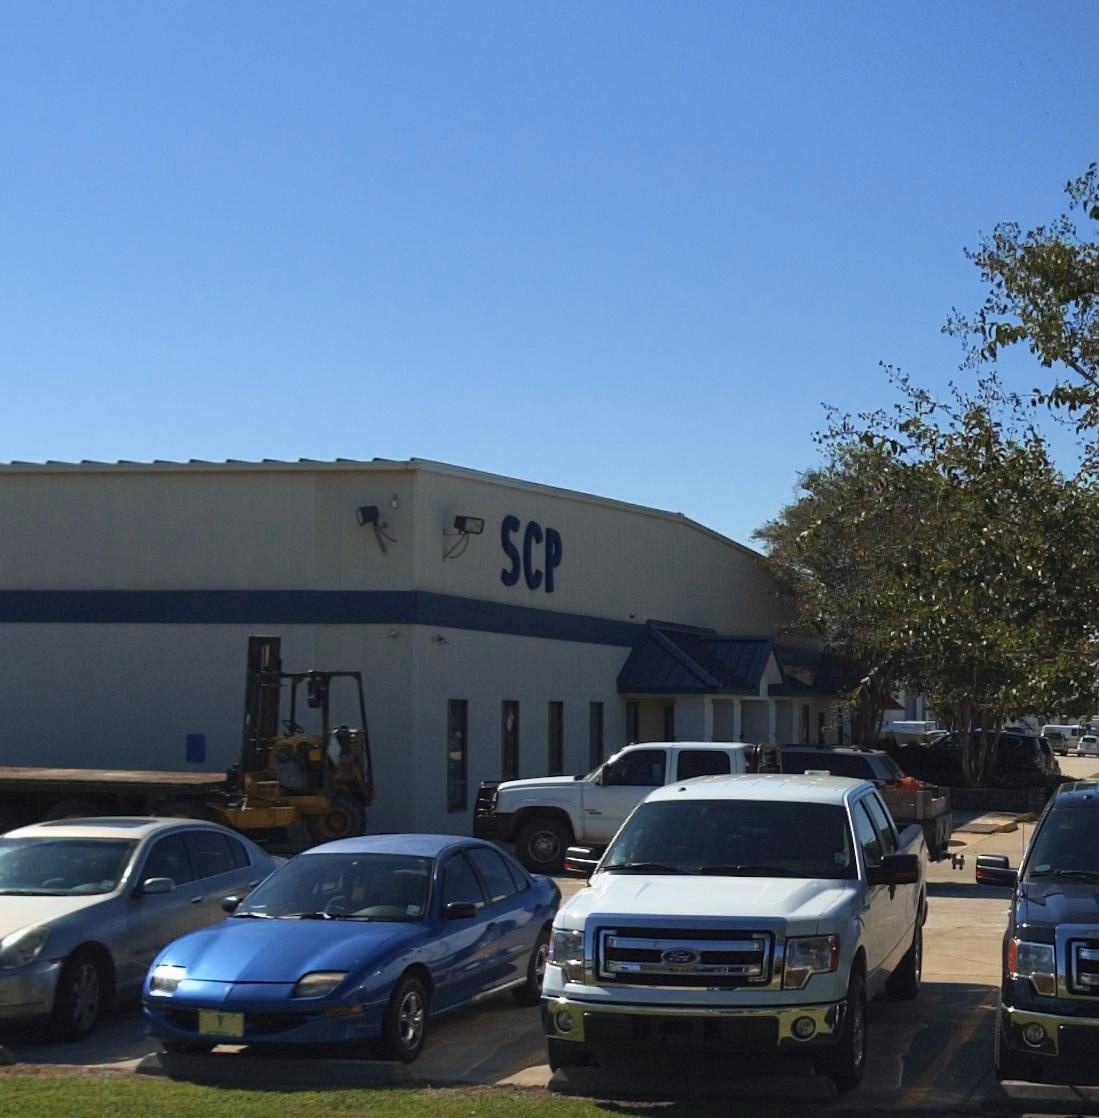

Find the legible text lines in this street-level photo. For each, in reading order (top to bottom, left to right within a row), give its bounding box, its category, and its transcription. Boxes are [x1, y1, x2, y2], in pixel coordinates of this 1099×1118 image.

[498, 507, 566, 600] BusinessName: SCP
[664, 948, 695, 964] BusinessName: Ford